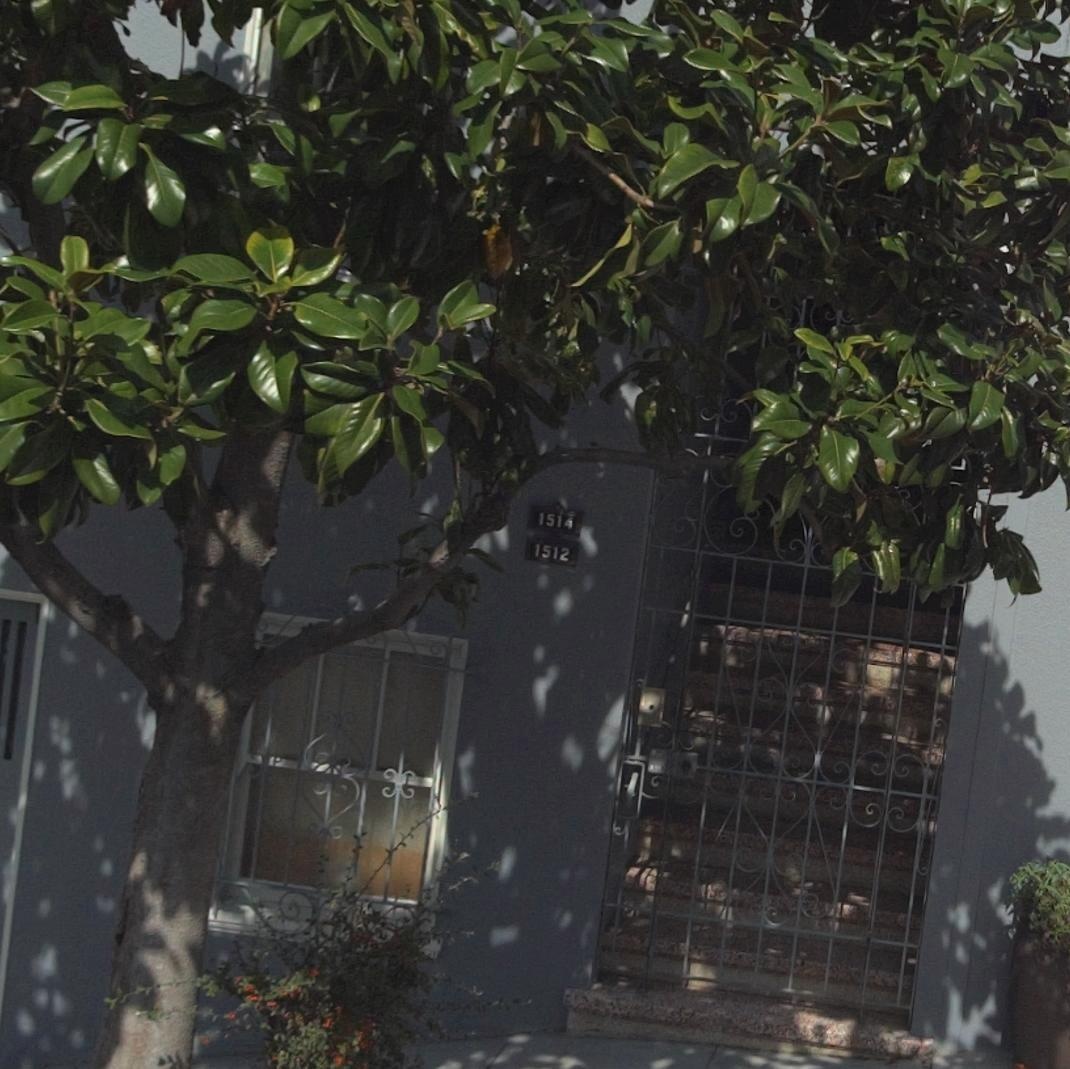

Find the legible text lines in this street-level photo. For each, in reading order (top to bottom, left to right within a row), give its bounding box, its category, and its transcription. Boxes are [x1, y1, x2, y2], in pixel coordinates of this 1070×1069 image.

[538, 511, 574, 531] StreetNumber: 1514
[533, 542, 571, 564] StreetNumber: 1512